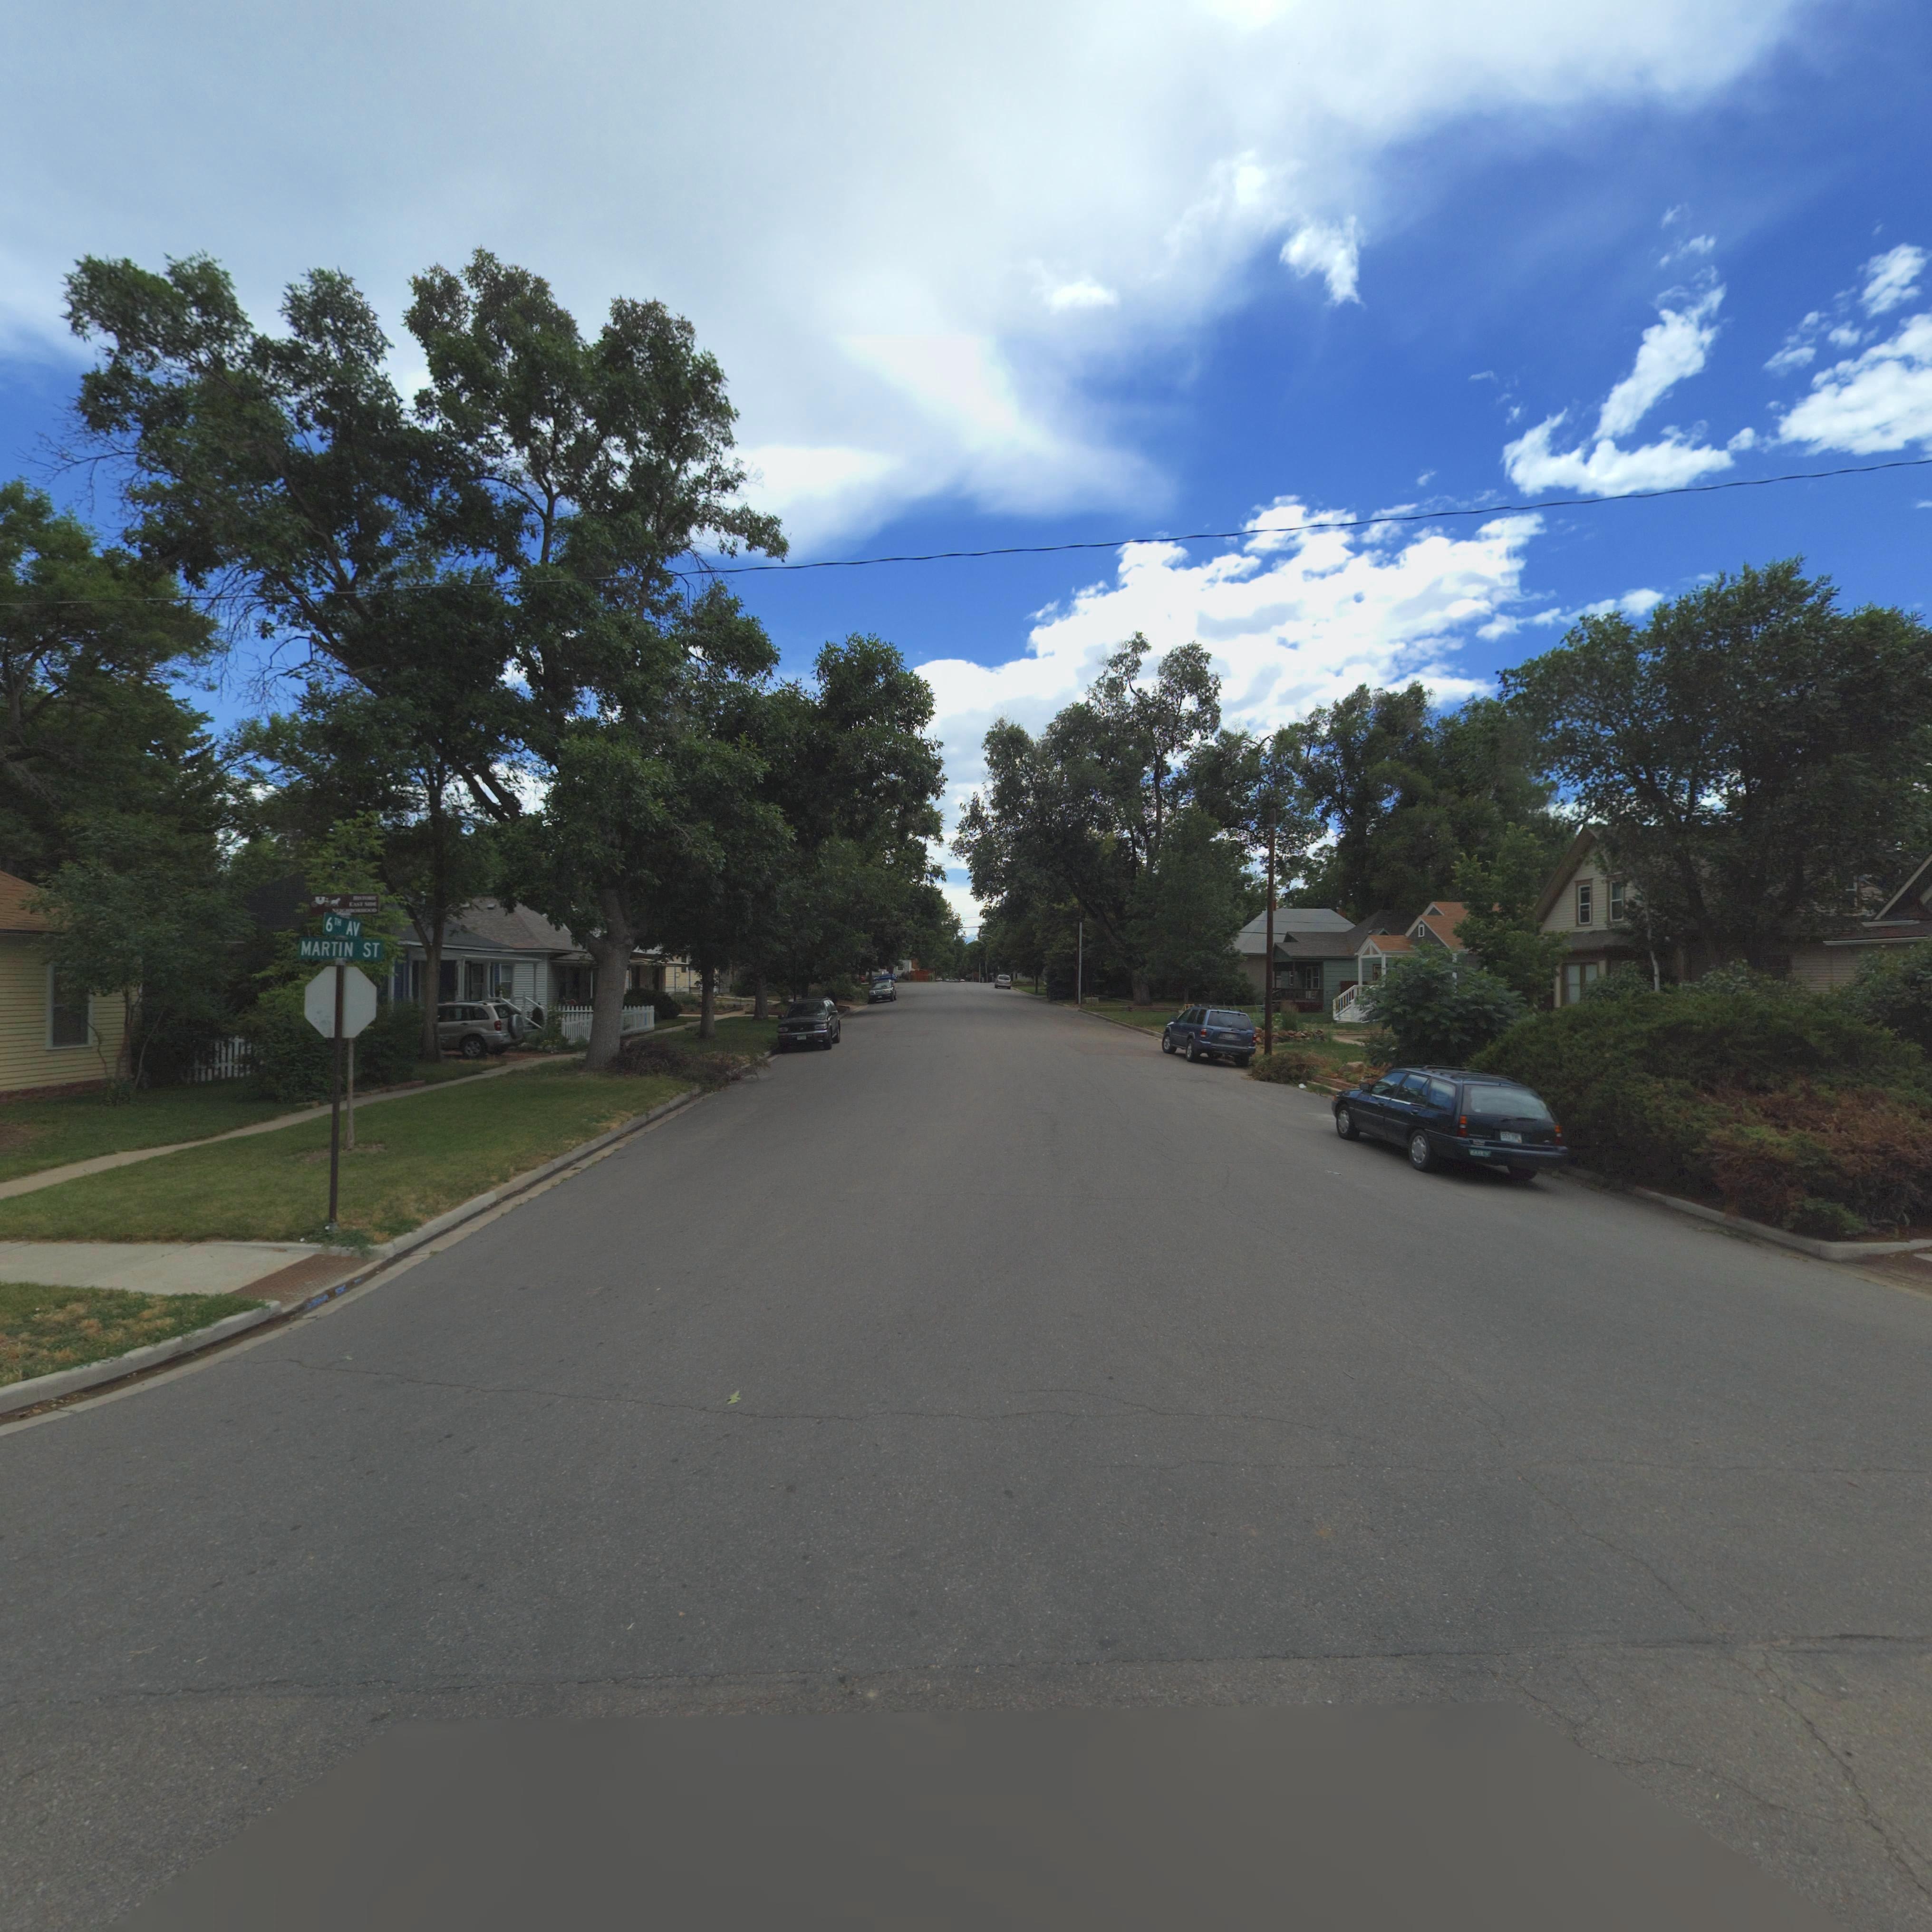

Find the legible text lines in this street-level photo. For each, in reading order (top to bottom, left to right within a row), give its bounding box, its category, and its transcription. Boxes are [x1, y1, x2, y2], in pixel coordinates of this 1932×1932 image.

[324, 916, 361, 937] StreetName: 6TH AV
[300, 940, 380, 957] StreetName: MARTIN ST